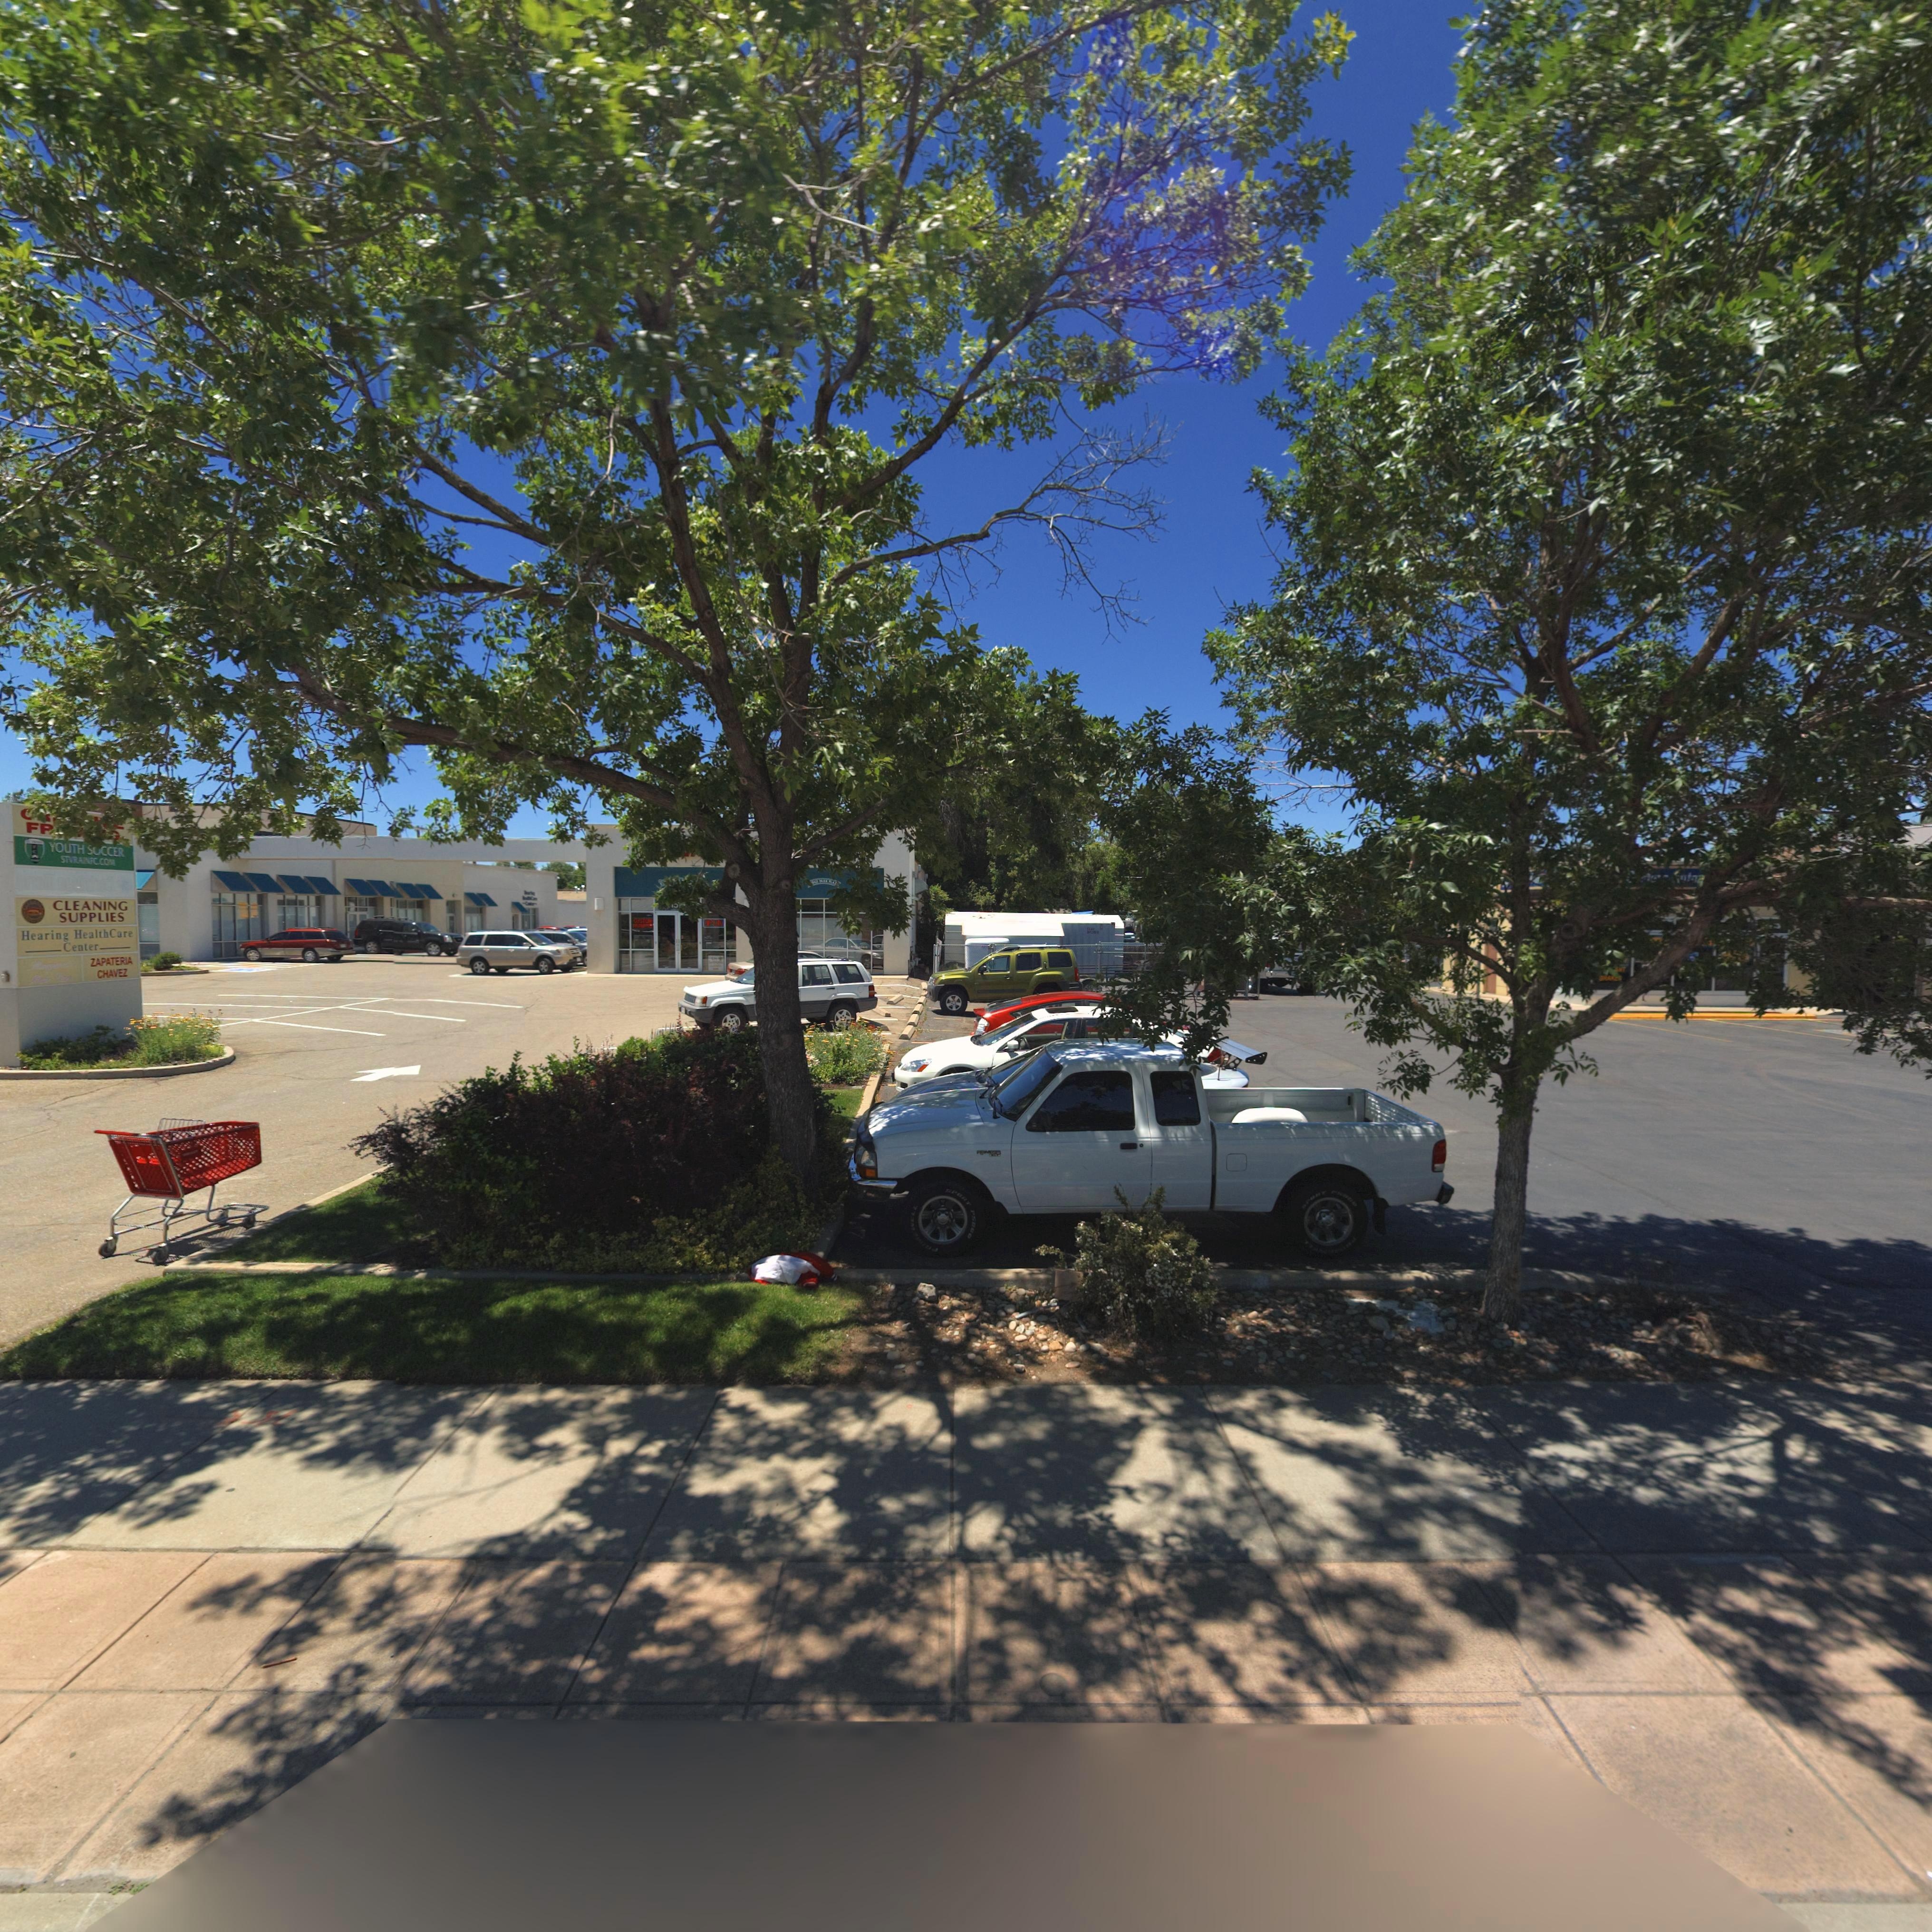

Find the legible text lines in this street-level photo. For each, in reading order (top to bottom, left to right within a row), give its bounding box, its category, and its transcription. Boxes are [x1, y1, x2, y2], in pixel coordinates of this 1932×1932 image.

[21, 806, 126, 831] BusinessName: C*******
[25, 821, 120, 841] BusinessName: FR*****
[47, 841, 125, 858] BusinessName: YOUTH SOCCER
[522, 895, 537, 900] BusinessName: HealthCare
[524, 890, 536, 896] BusinessName: Hearing
[525, 901, 535, 906] BusinessName: Center
[670, 900, 686, 908] StreetNumber: 15**
[20, 928, 133, 942] BusinessName: Hearing HealthCare
[62, 942, 99, 952] BusinessName: Center
[89, 956, 135, 967] BusinessName: ZAPATERIA
[97, 967, 129, 979] BusinessName: CHAVEZ